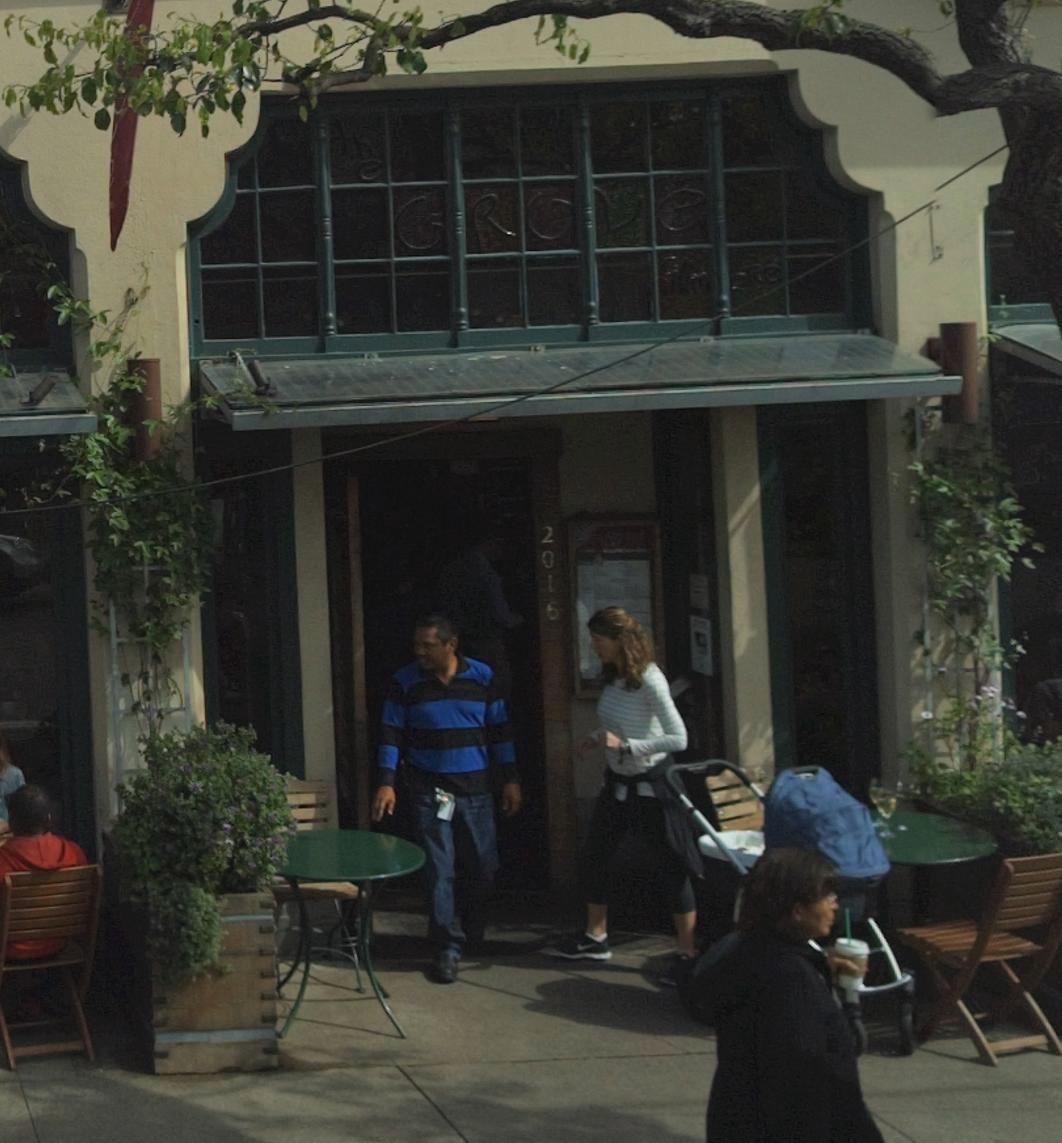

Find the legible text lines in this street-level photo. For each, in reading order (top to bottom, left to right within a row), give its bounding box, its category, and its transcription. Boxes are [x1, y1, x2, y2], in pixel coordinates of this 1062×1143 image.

[354, 156, 385, 185] BusinessName: e
[392, 186, 711, 255] BusinessName: G*R*O*V*e
[538, 523, 562, 624] StreetNumber: 2010